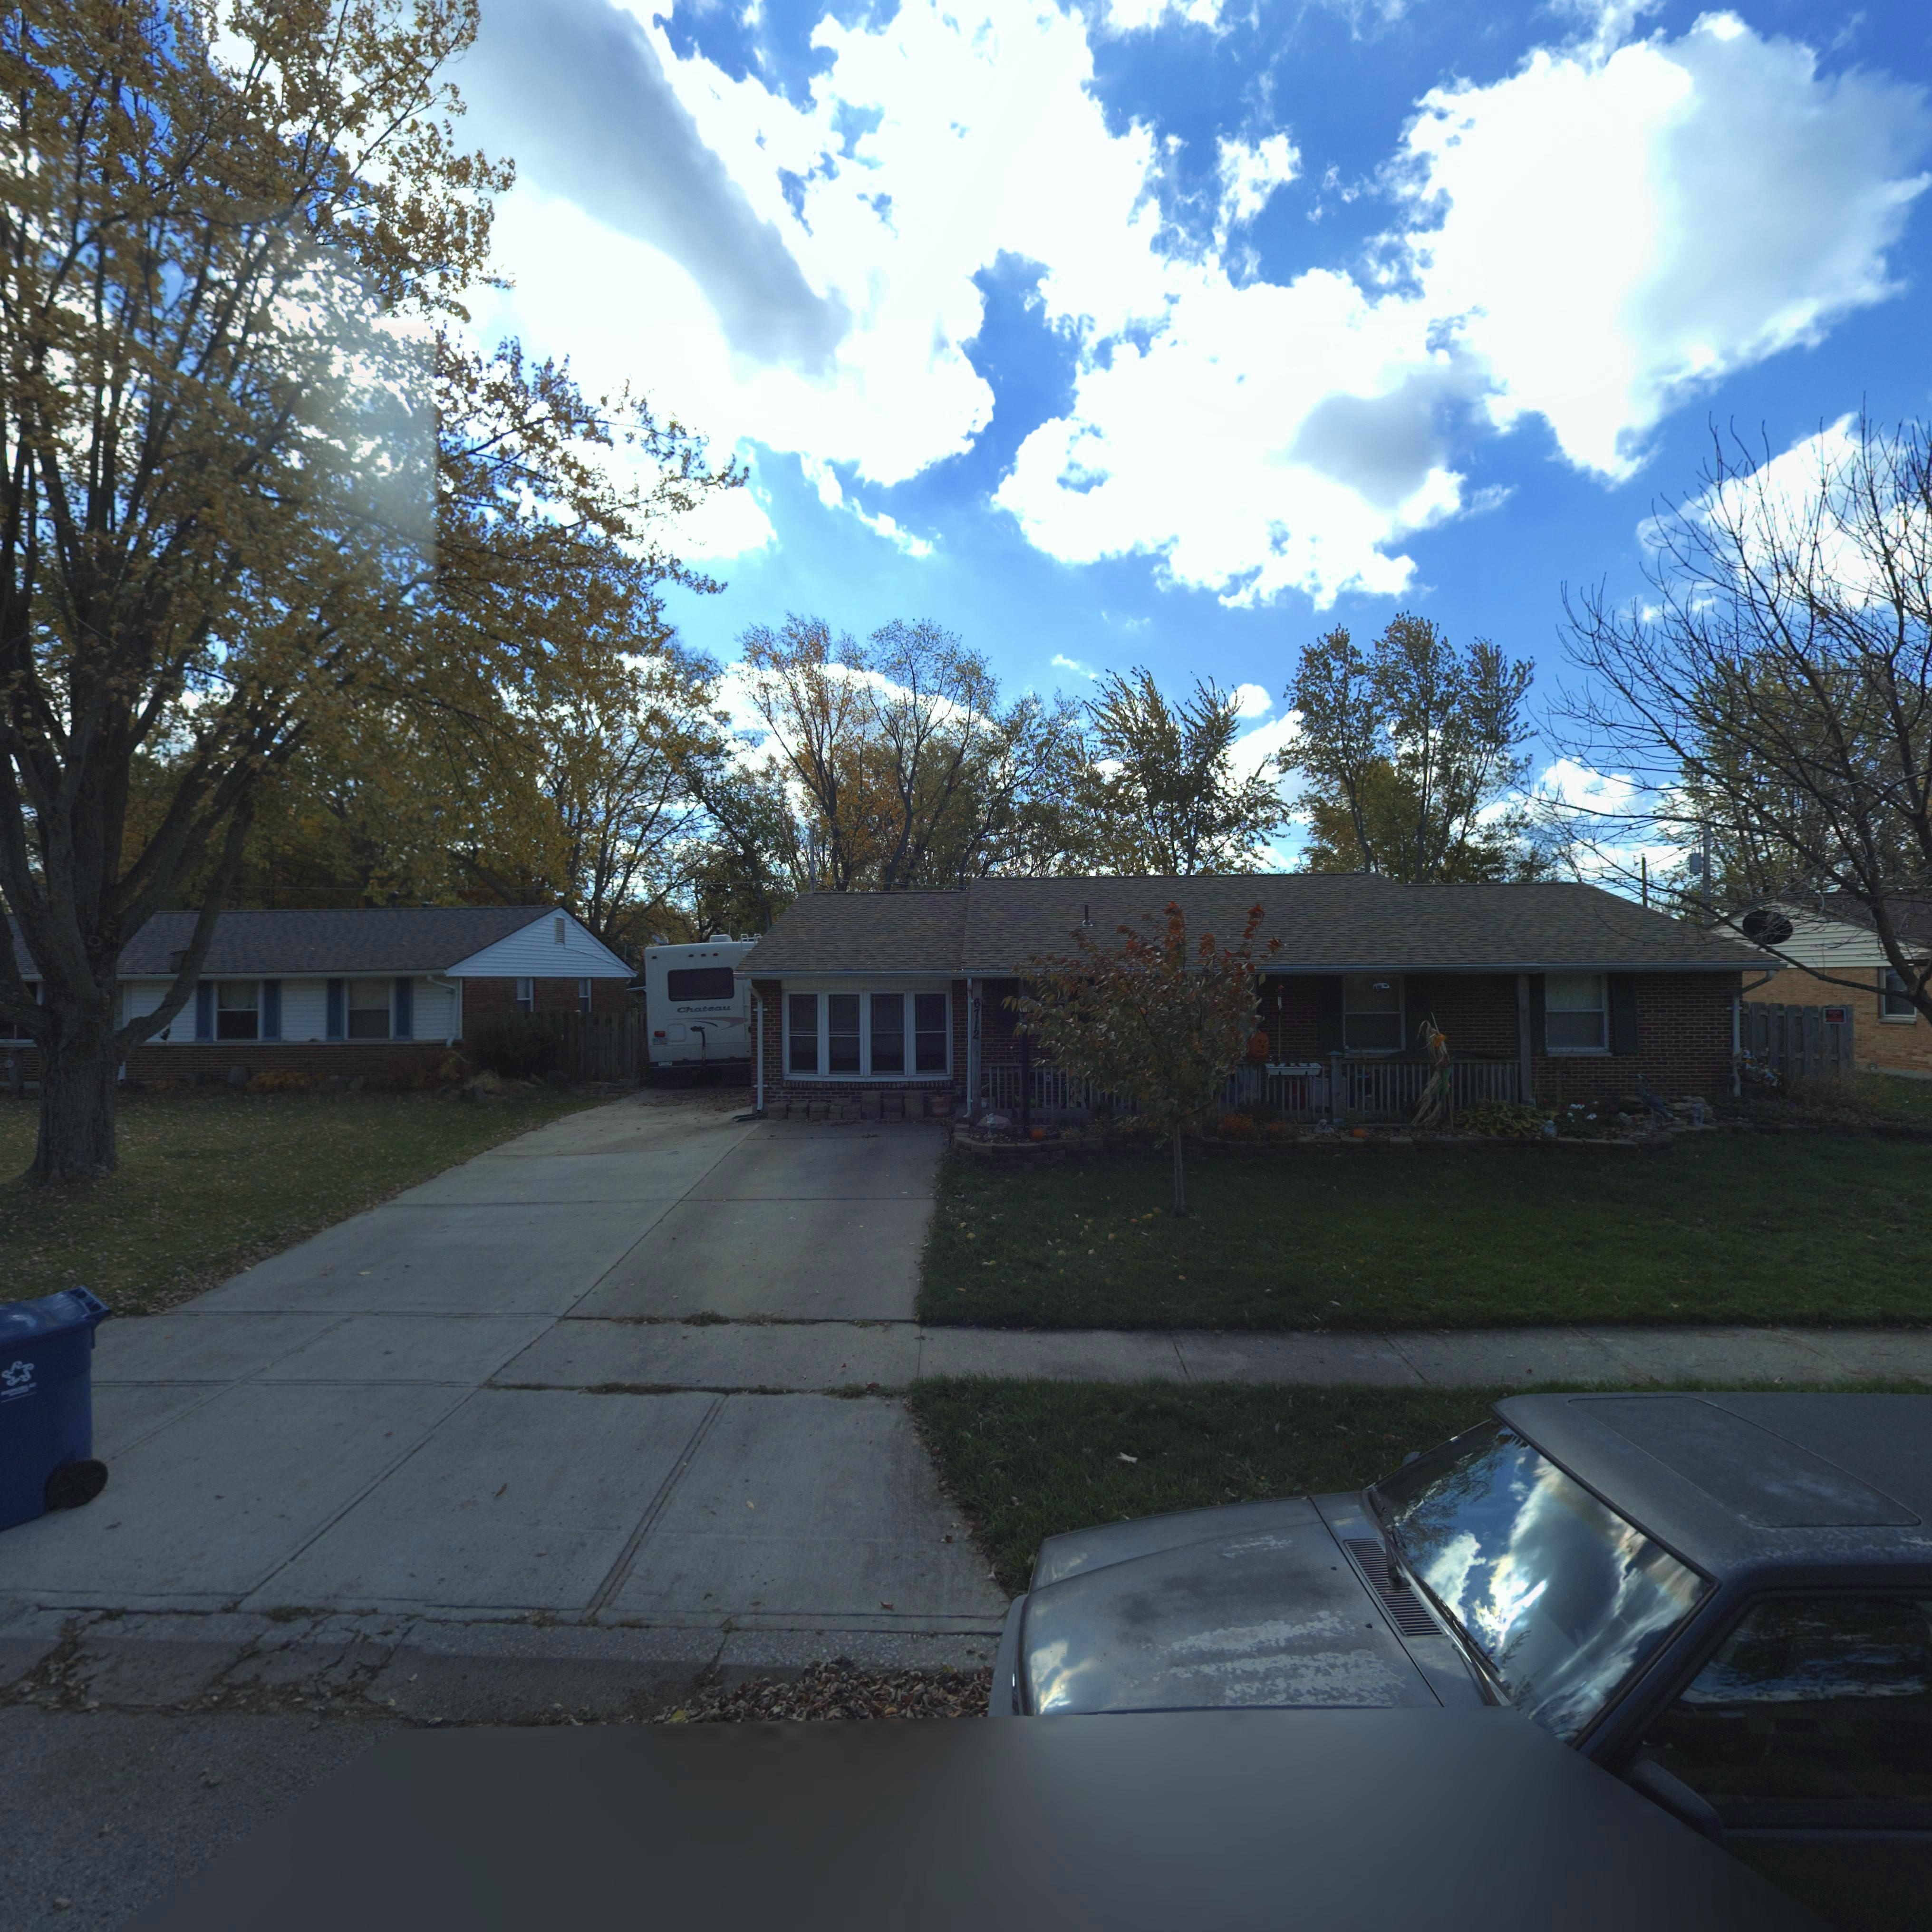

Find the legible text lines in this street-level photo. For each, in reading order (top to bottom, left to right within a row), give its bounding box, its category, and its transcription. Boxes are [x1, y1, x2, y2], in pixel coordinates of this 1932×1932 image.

[972, 997, 981, 1039] StreetNumber: 6712